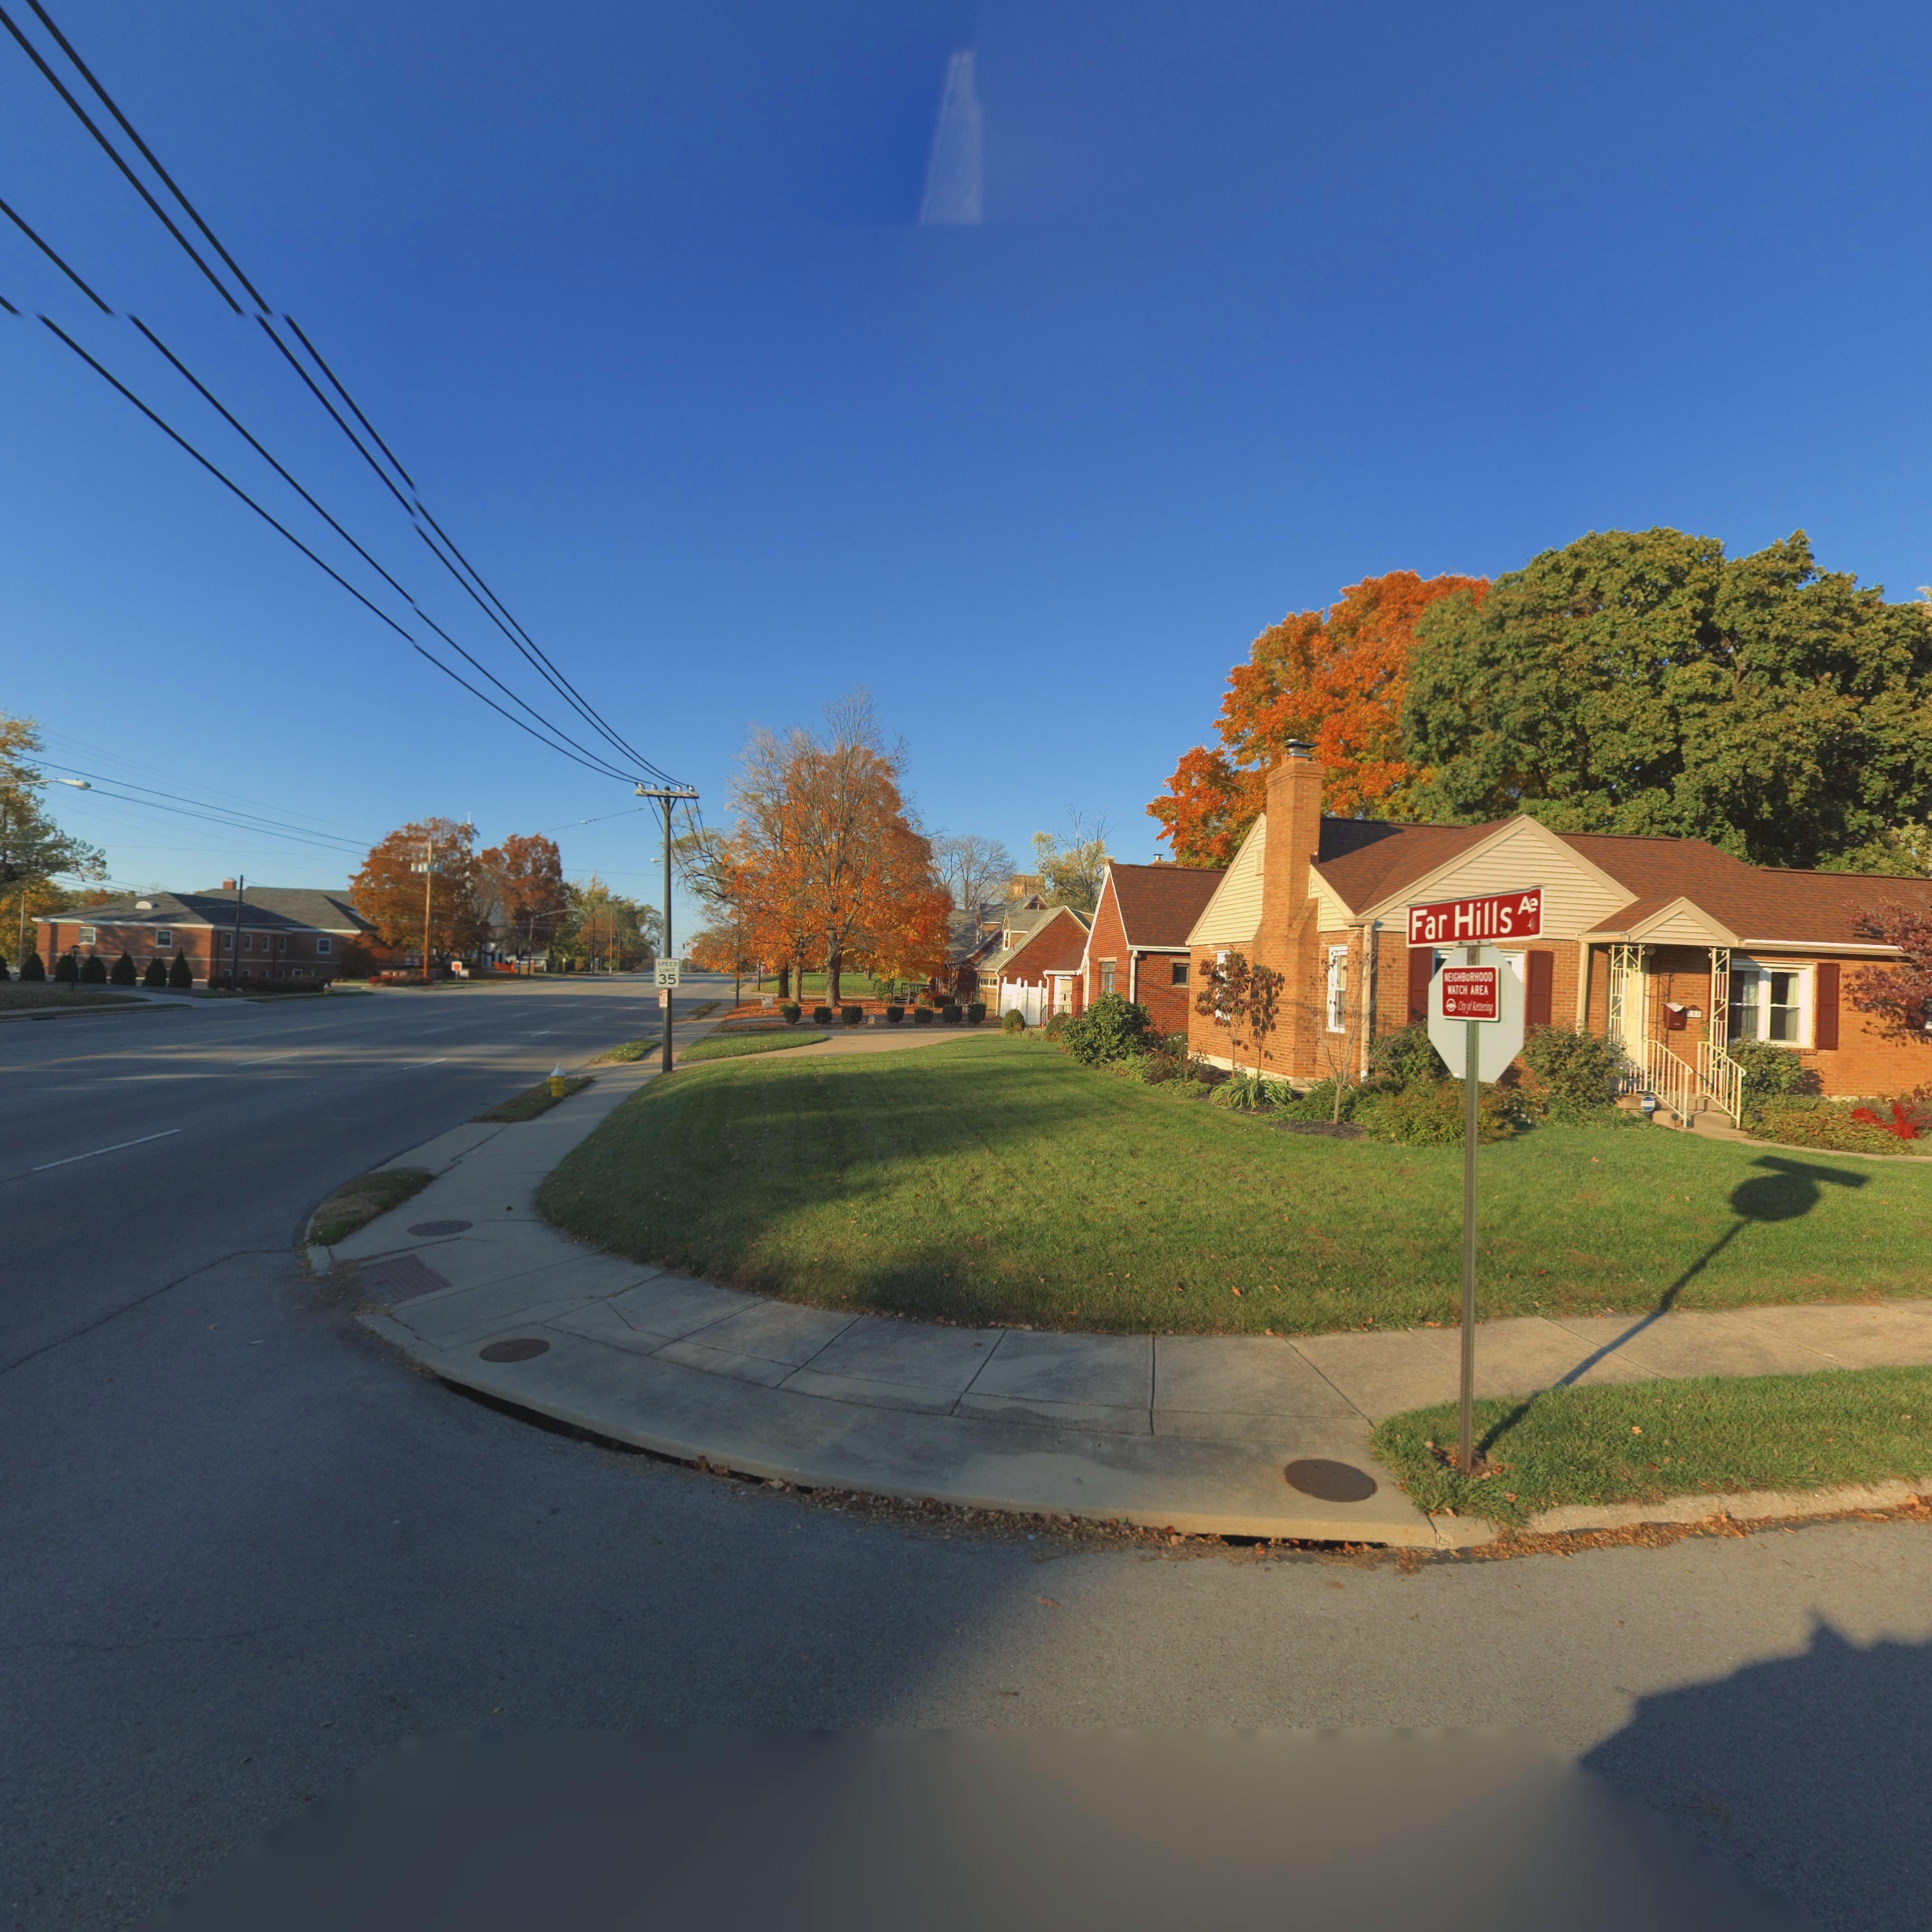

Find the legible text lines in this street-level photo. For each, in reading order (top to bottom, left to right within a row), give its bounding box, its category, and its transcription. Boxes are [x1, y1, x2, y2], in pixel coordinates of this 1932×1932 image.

[1410, 894, 1533, 943] StreetName: Far Hills A
[1686, 1011, 1700, 1017] StreetNumber: 2*2